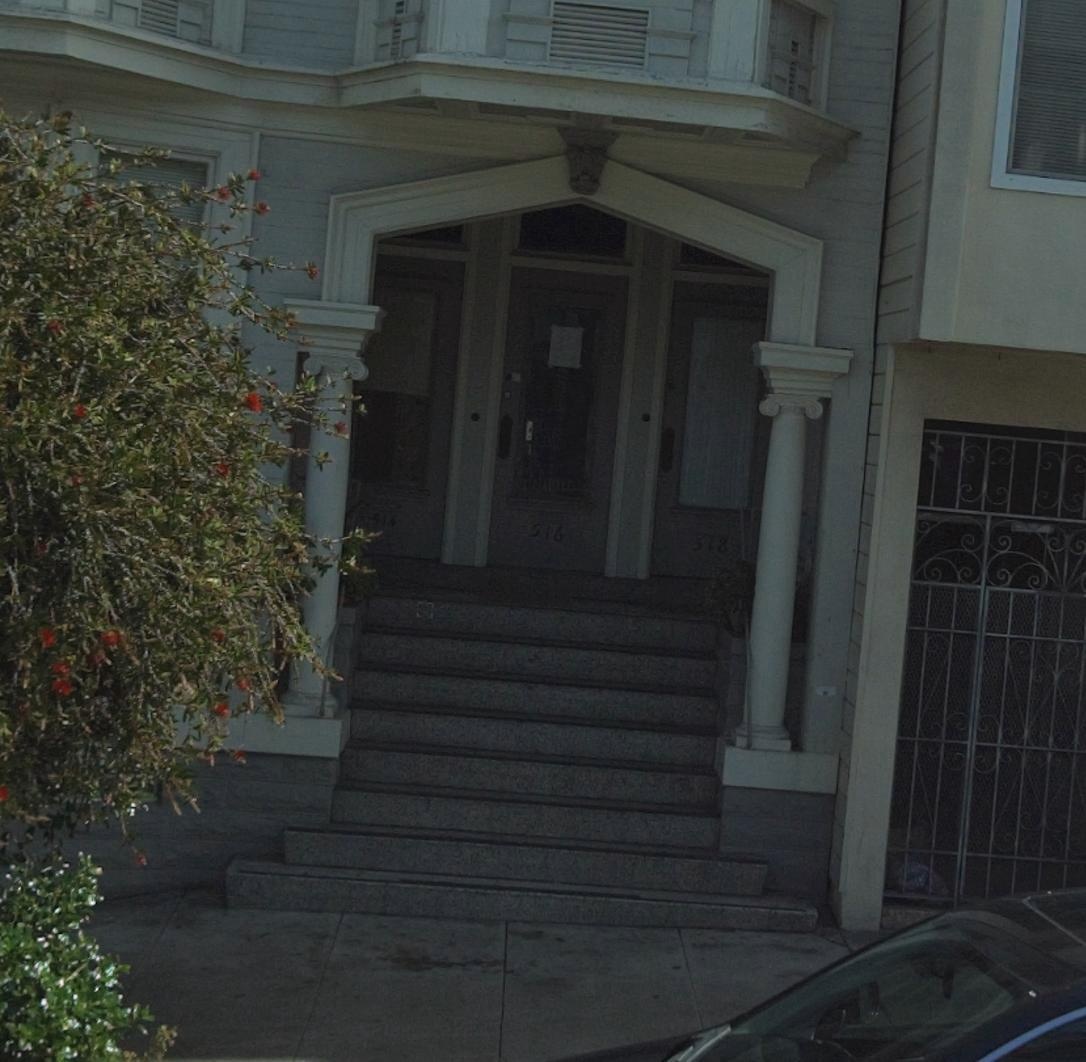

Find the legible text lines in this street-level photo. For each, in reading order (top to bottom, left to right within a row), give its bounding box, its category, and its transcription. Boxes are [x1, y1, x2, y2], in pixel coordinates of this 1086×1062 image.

[369, 510, 399, 529] StreetNumber: 514
[525, 520, 566, 544] StreetNumber: 516
[689, 534, 731, 556] StreetNumber: 518